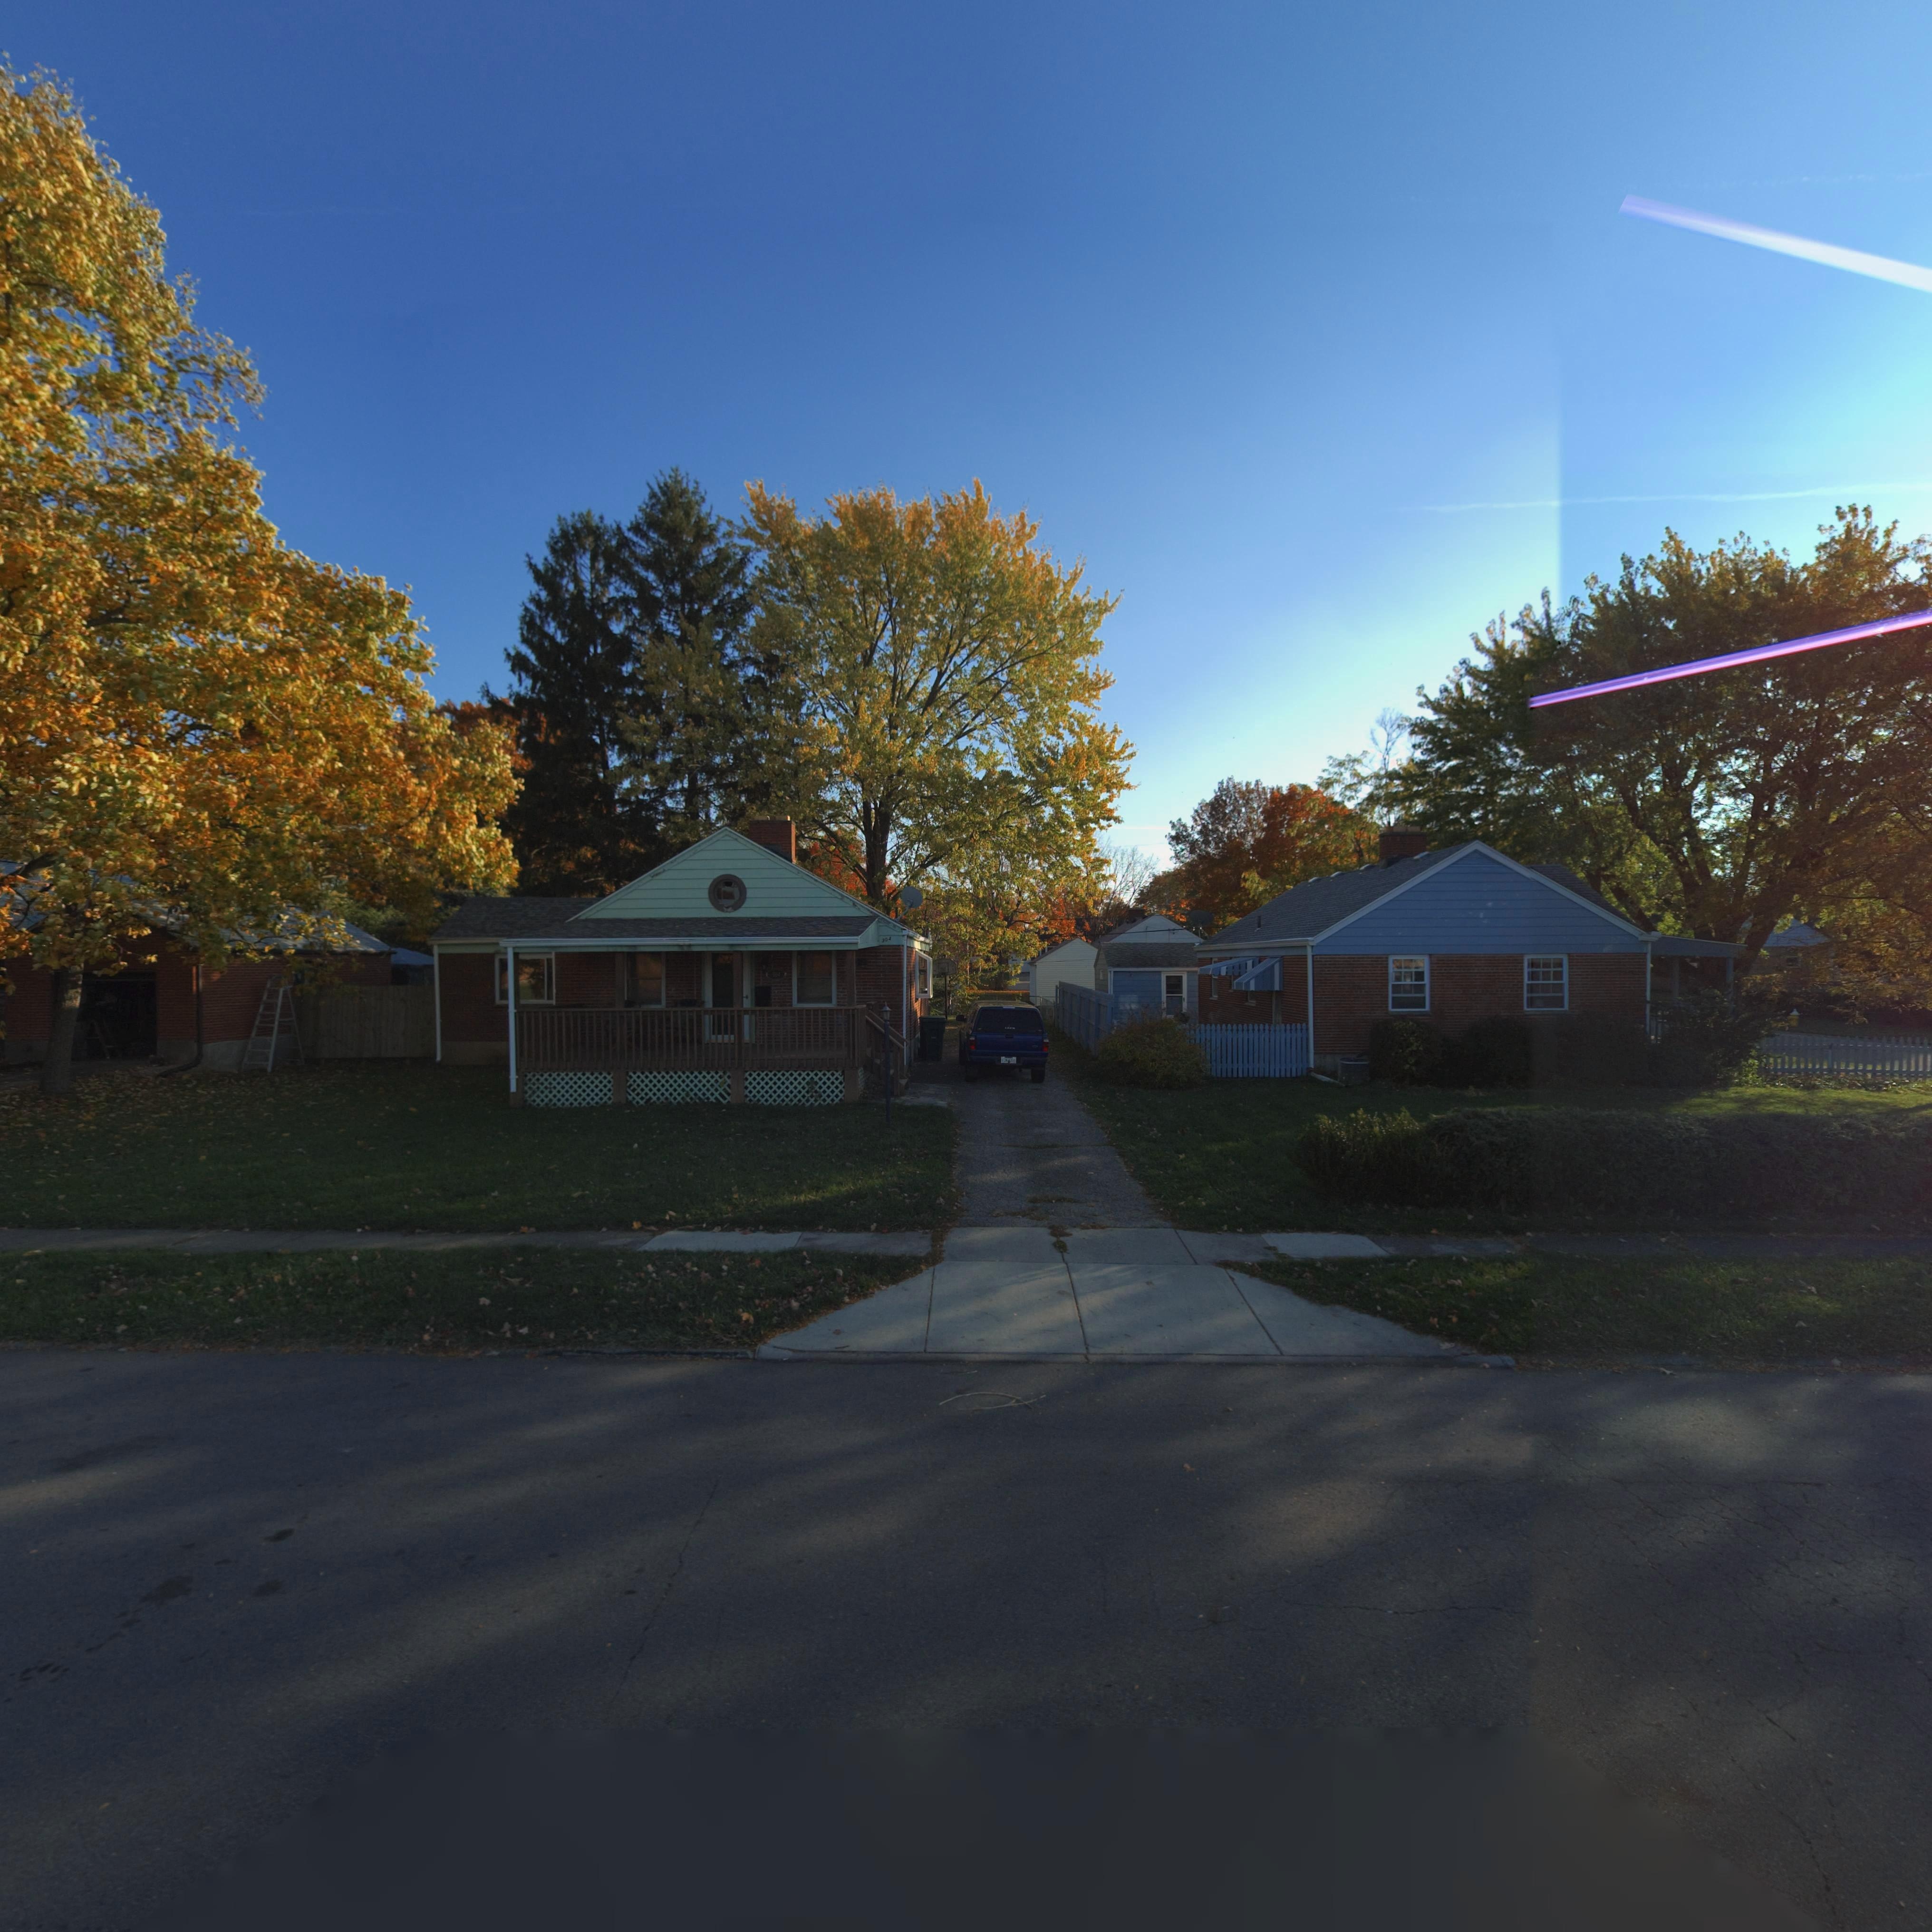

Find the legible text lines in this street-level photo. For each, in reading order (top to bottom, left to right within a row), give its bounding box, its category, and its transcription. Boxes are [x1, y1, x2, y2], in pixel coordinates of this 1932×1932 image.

[881, 936, 892, 944] StreetNumber: 304